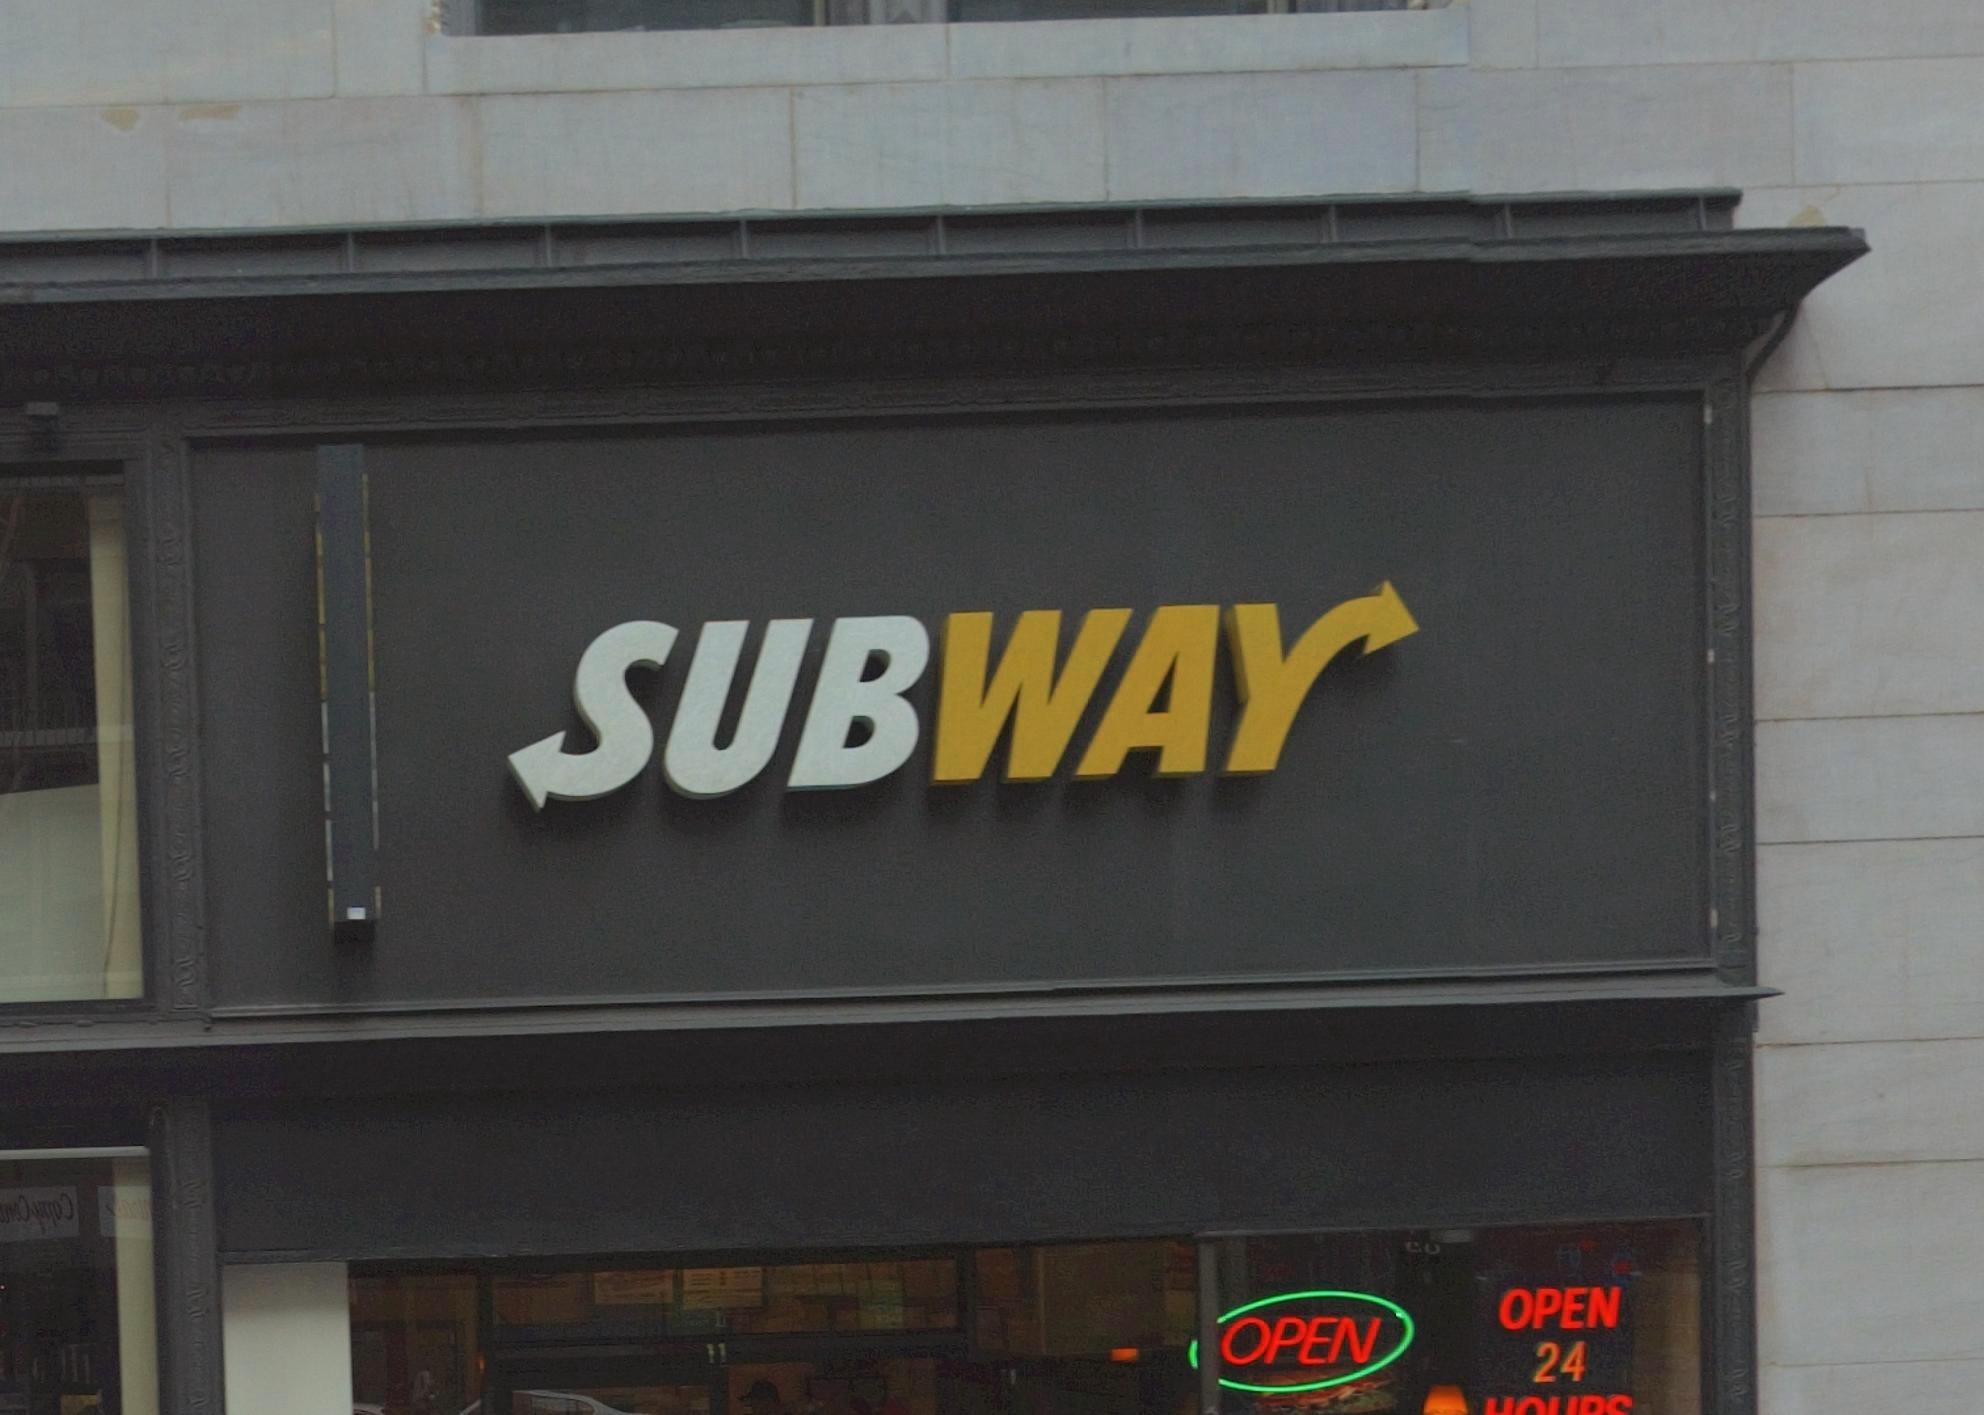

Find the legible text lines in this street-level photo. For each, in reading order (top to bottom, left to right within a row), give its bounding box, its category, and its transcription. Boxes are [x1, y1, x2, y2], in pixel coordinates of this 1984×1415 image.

[489, 569, 1436, 824] BusinessName: SUBWAY
[1488, 1281, 1628, 1335] None: OPEN
[1214, 1310, 1392, 1371] None: OPEN
[1528, 1337, 1591, 1388] None: 24